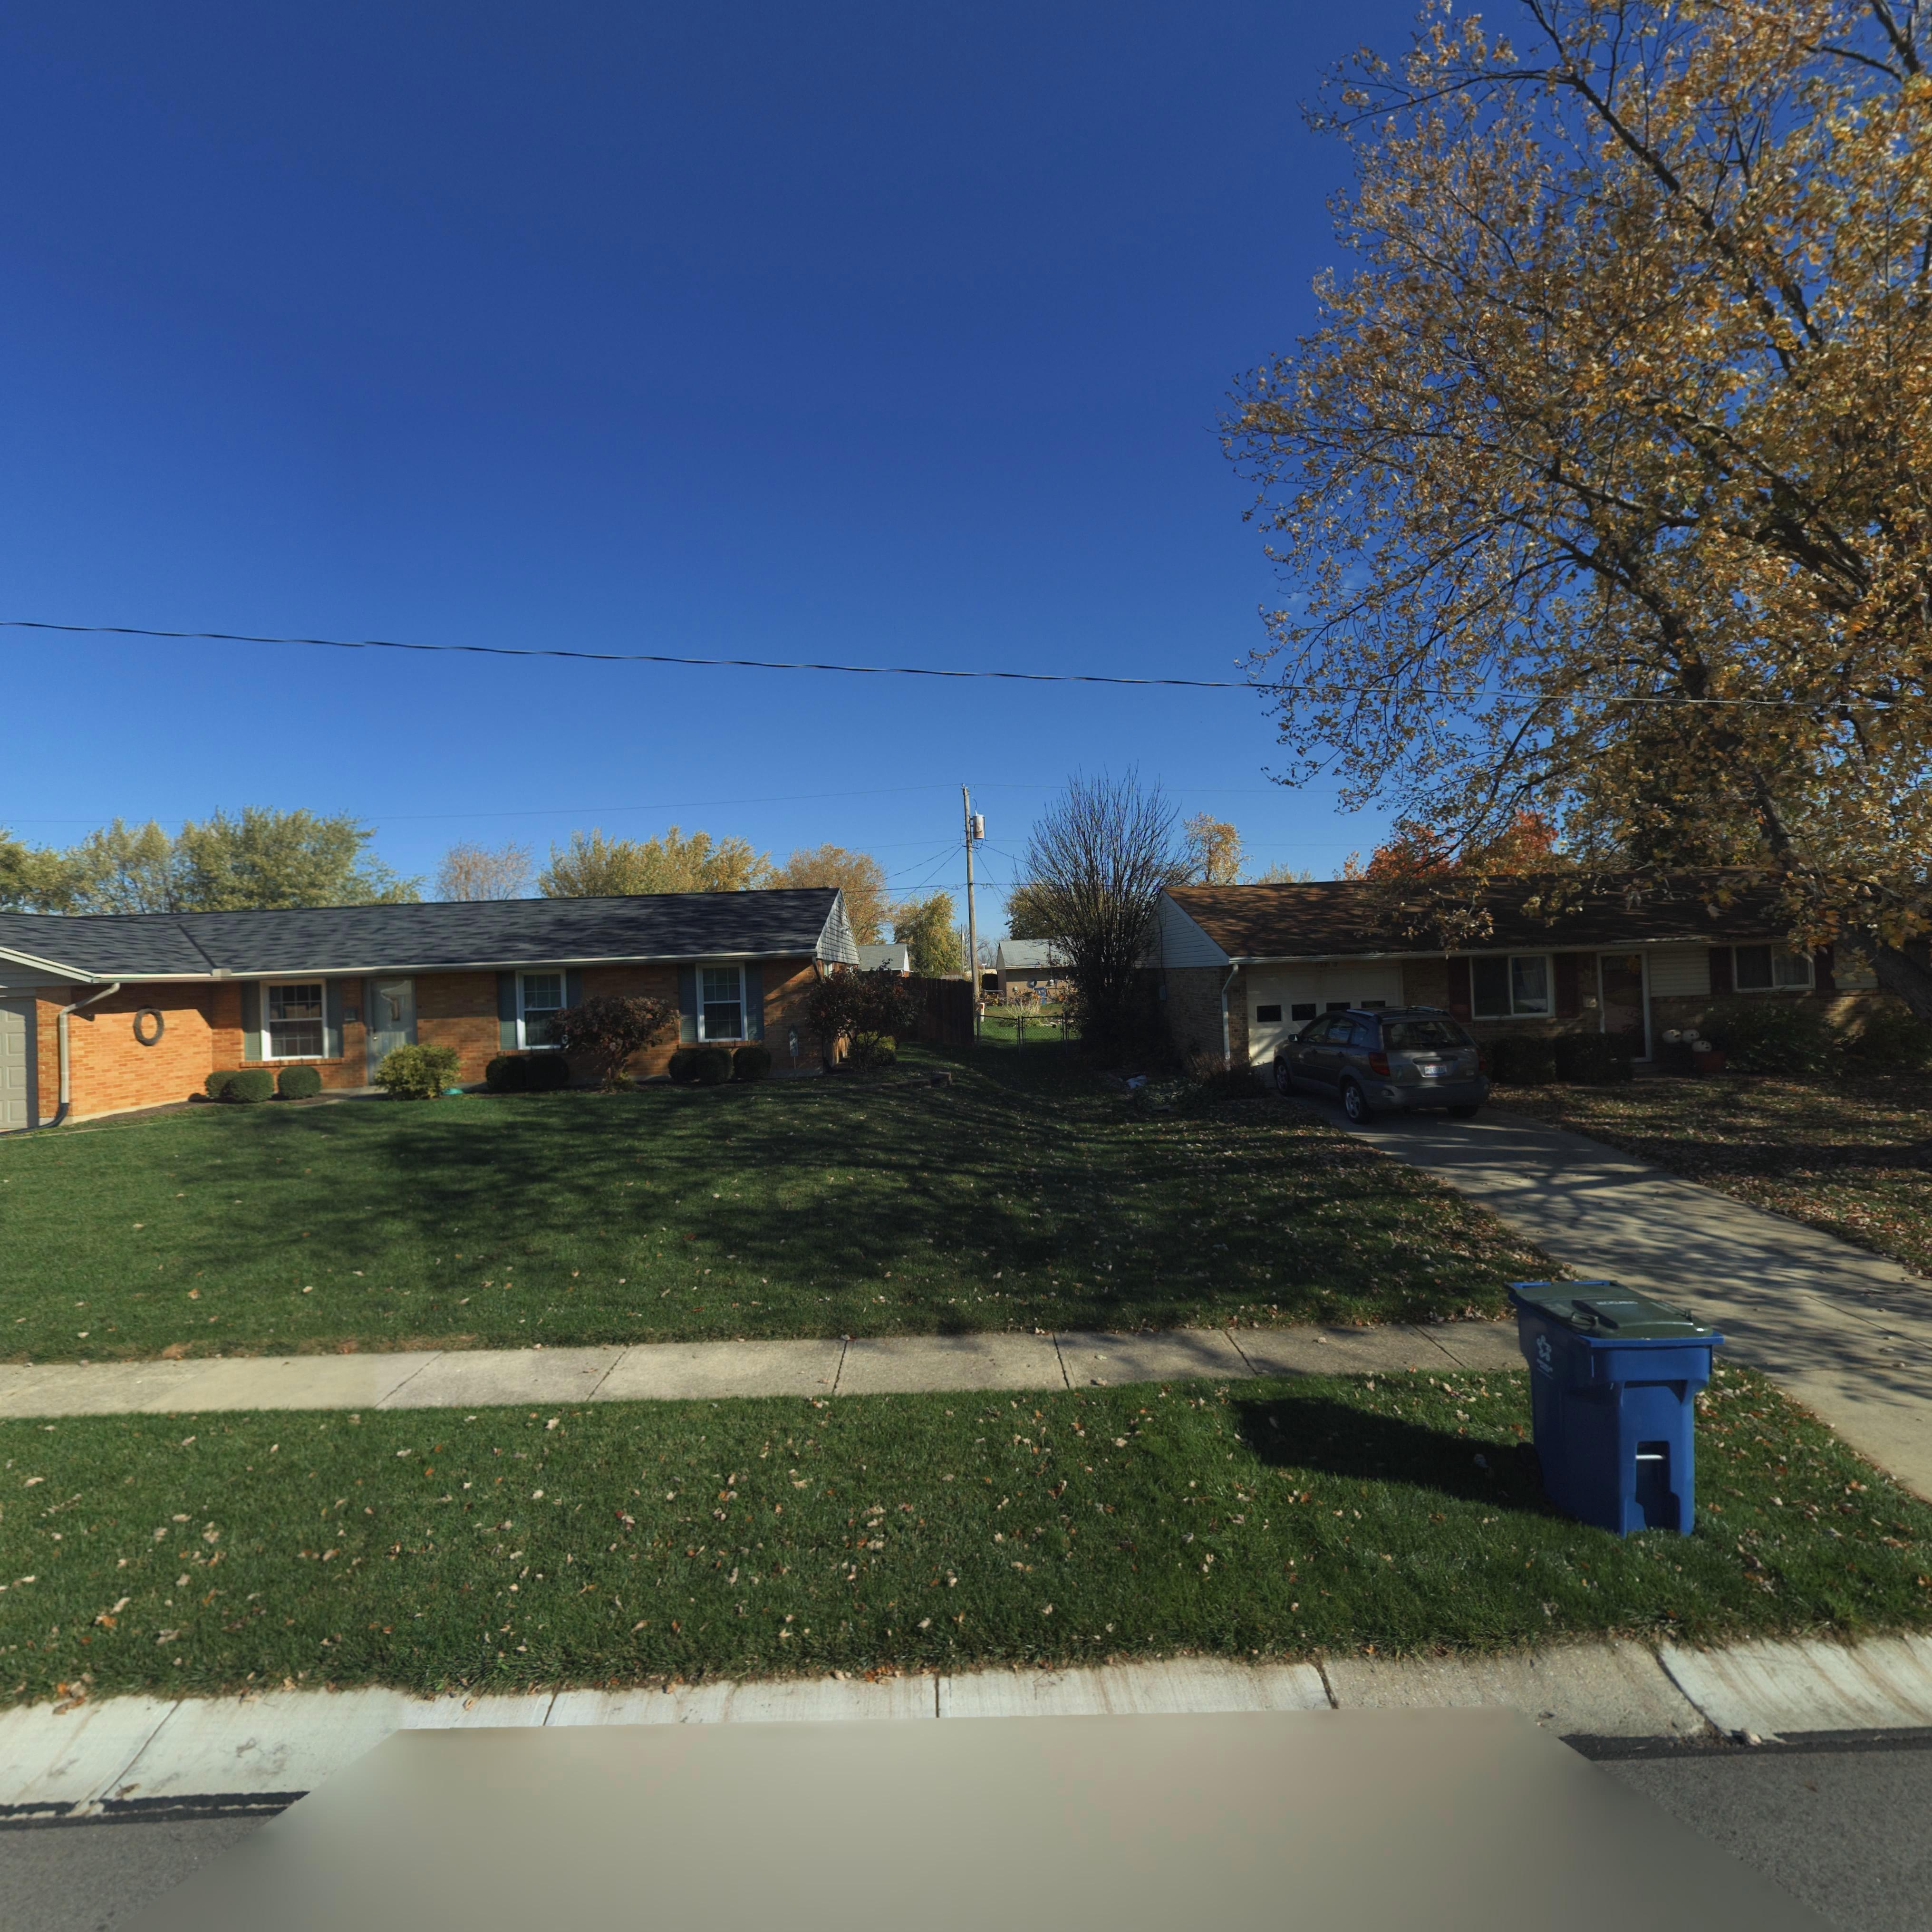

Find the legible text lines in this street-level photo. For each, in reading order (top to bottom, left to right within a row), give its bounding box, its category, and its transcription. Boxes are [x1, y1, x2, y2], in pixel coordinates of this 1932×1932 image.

[1315, 962, 1328, 969] StreetNumber: *2*